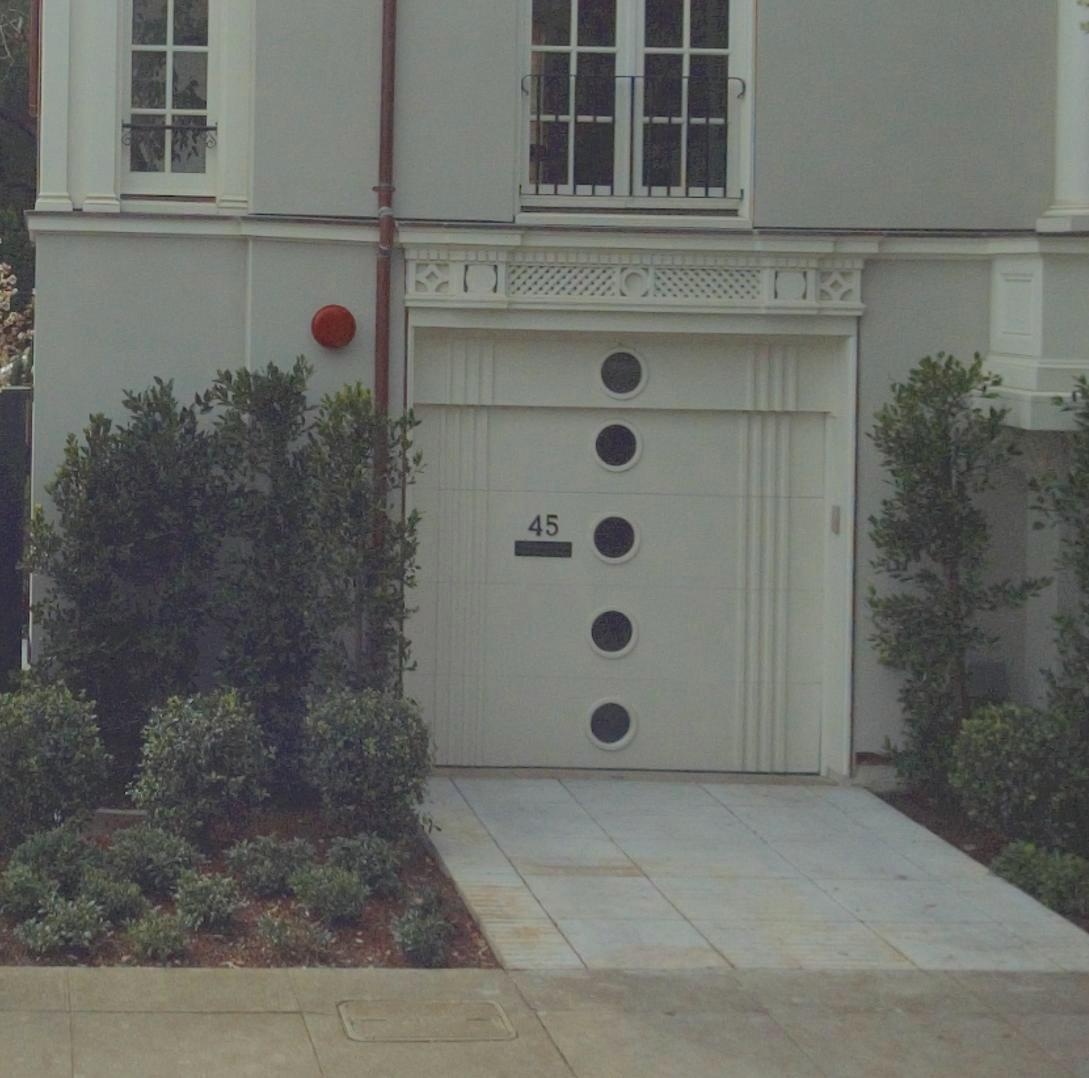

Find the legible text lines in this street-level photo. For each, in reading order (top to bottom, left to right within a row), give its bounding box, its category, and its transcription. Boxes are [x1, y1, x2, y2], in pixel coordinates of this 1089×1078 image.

[527, 514, 559, 537] StreetNumber: 45